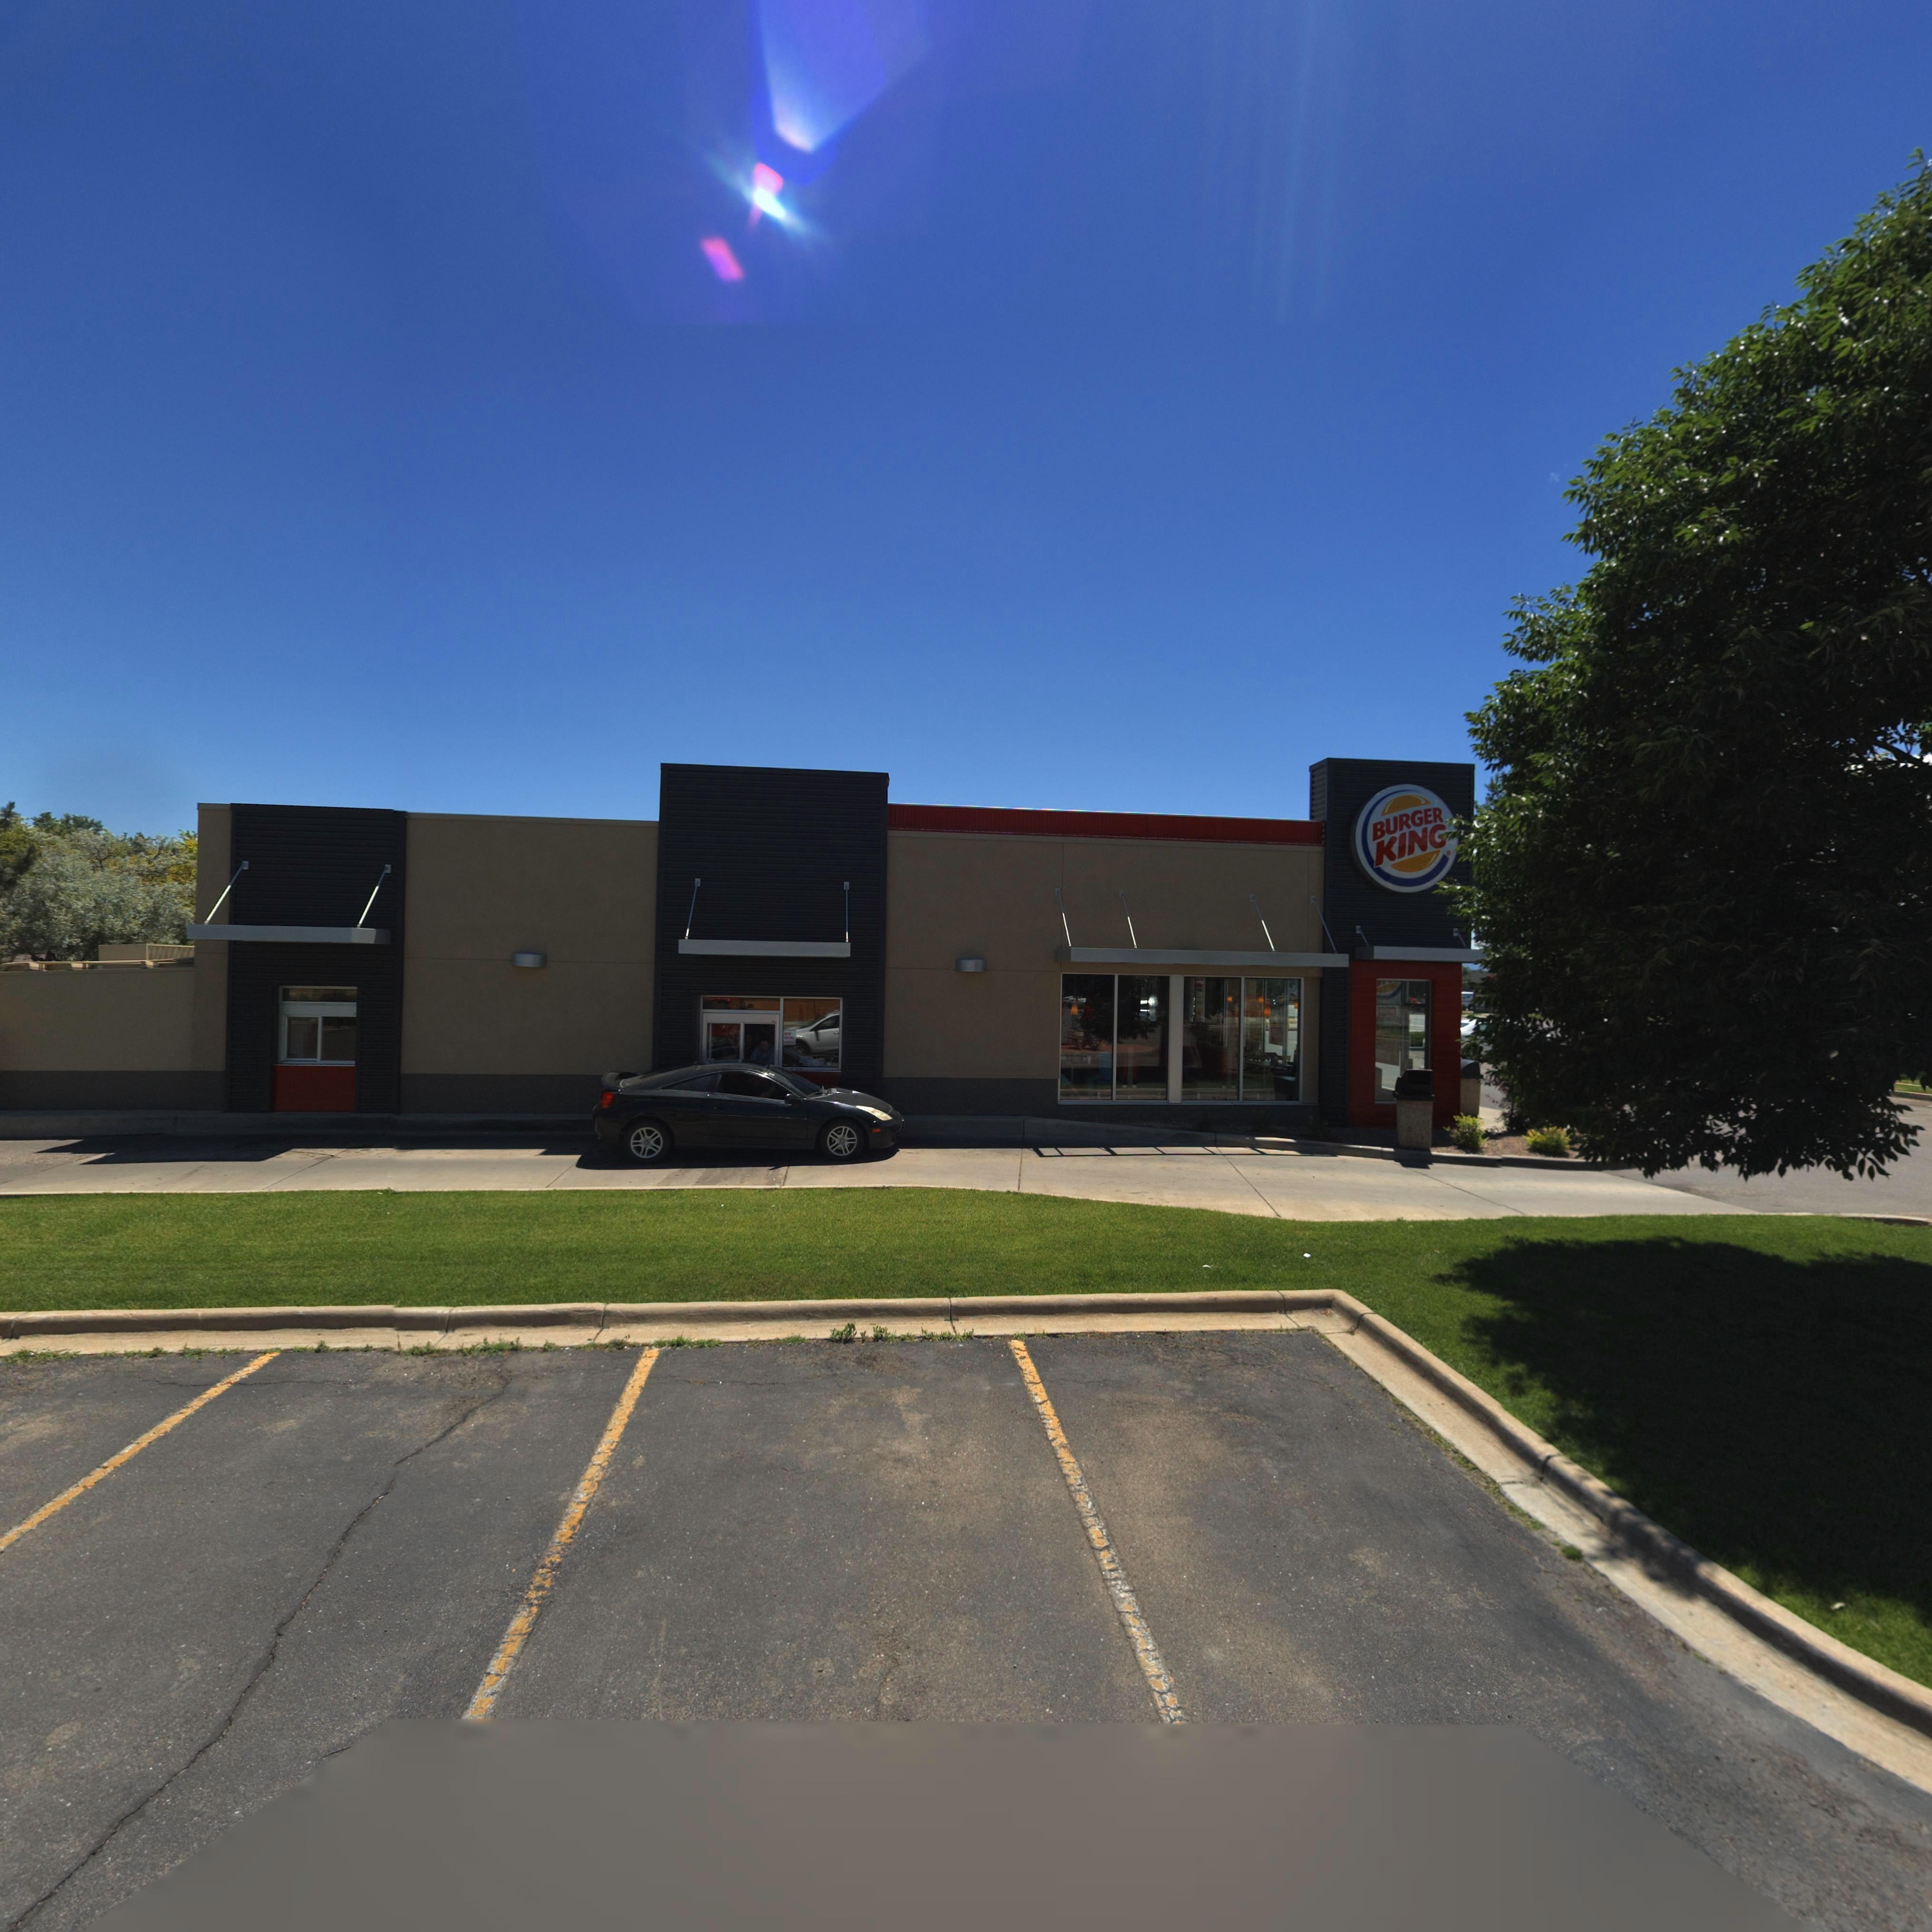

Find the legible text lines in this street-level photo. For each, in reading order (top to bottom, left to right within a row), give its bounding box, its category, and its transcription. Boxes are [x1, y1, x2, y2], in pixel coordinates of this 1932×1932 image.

[1372, 806, 1443, 841] BusinessName: BURGER
[1374, 823, 1447, 868] BusinessName: KING